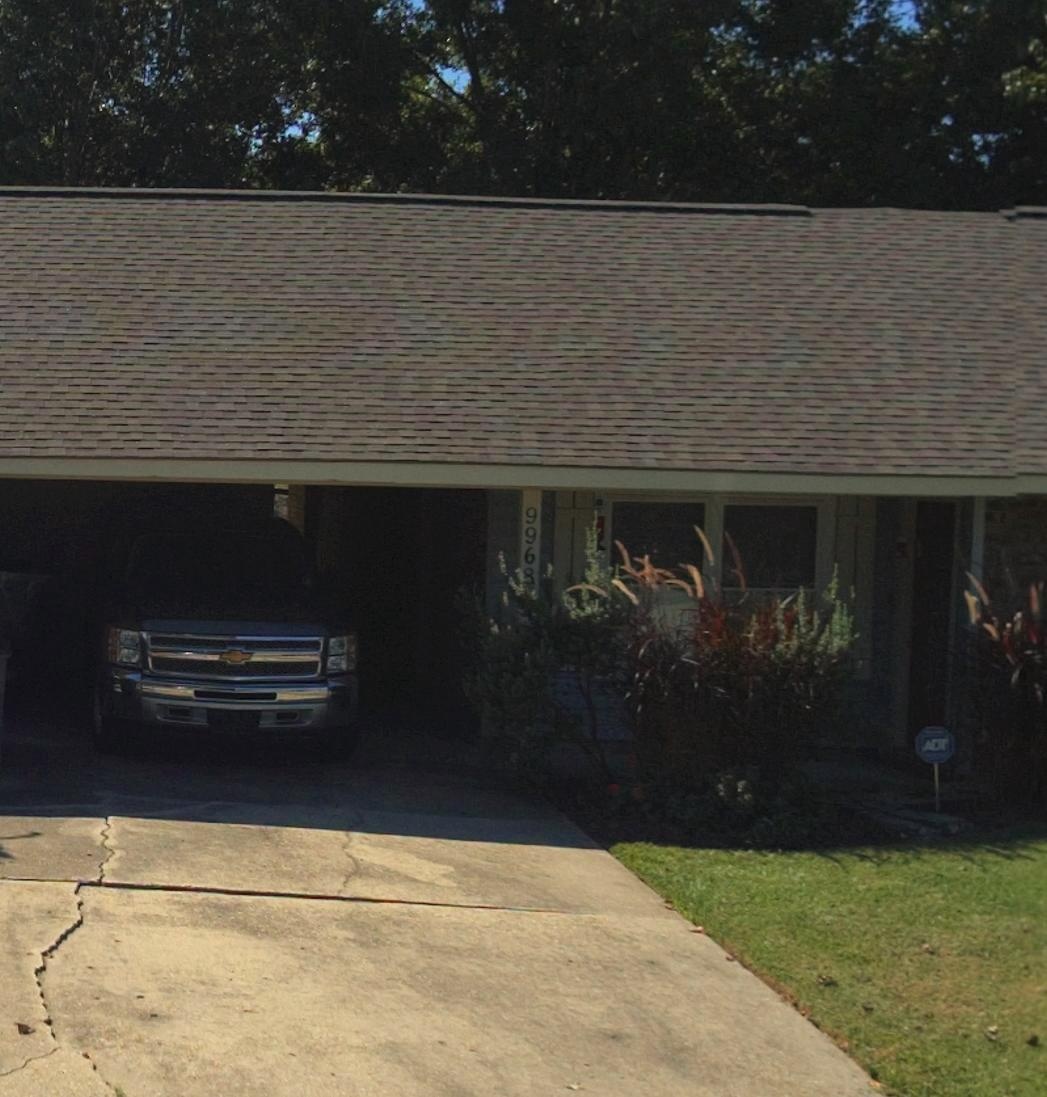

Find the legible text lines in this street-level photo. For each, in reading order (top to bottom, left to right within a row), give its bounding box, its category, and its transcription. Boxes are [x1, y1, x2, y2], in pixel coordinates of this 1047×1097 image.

[523, 506, 537, 594] StreetNumber: 9968
[921, 737, 948, 752] None: ADT